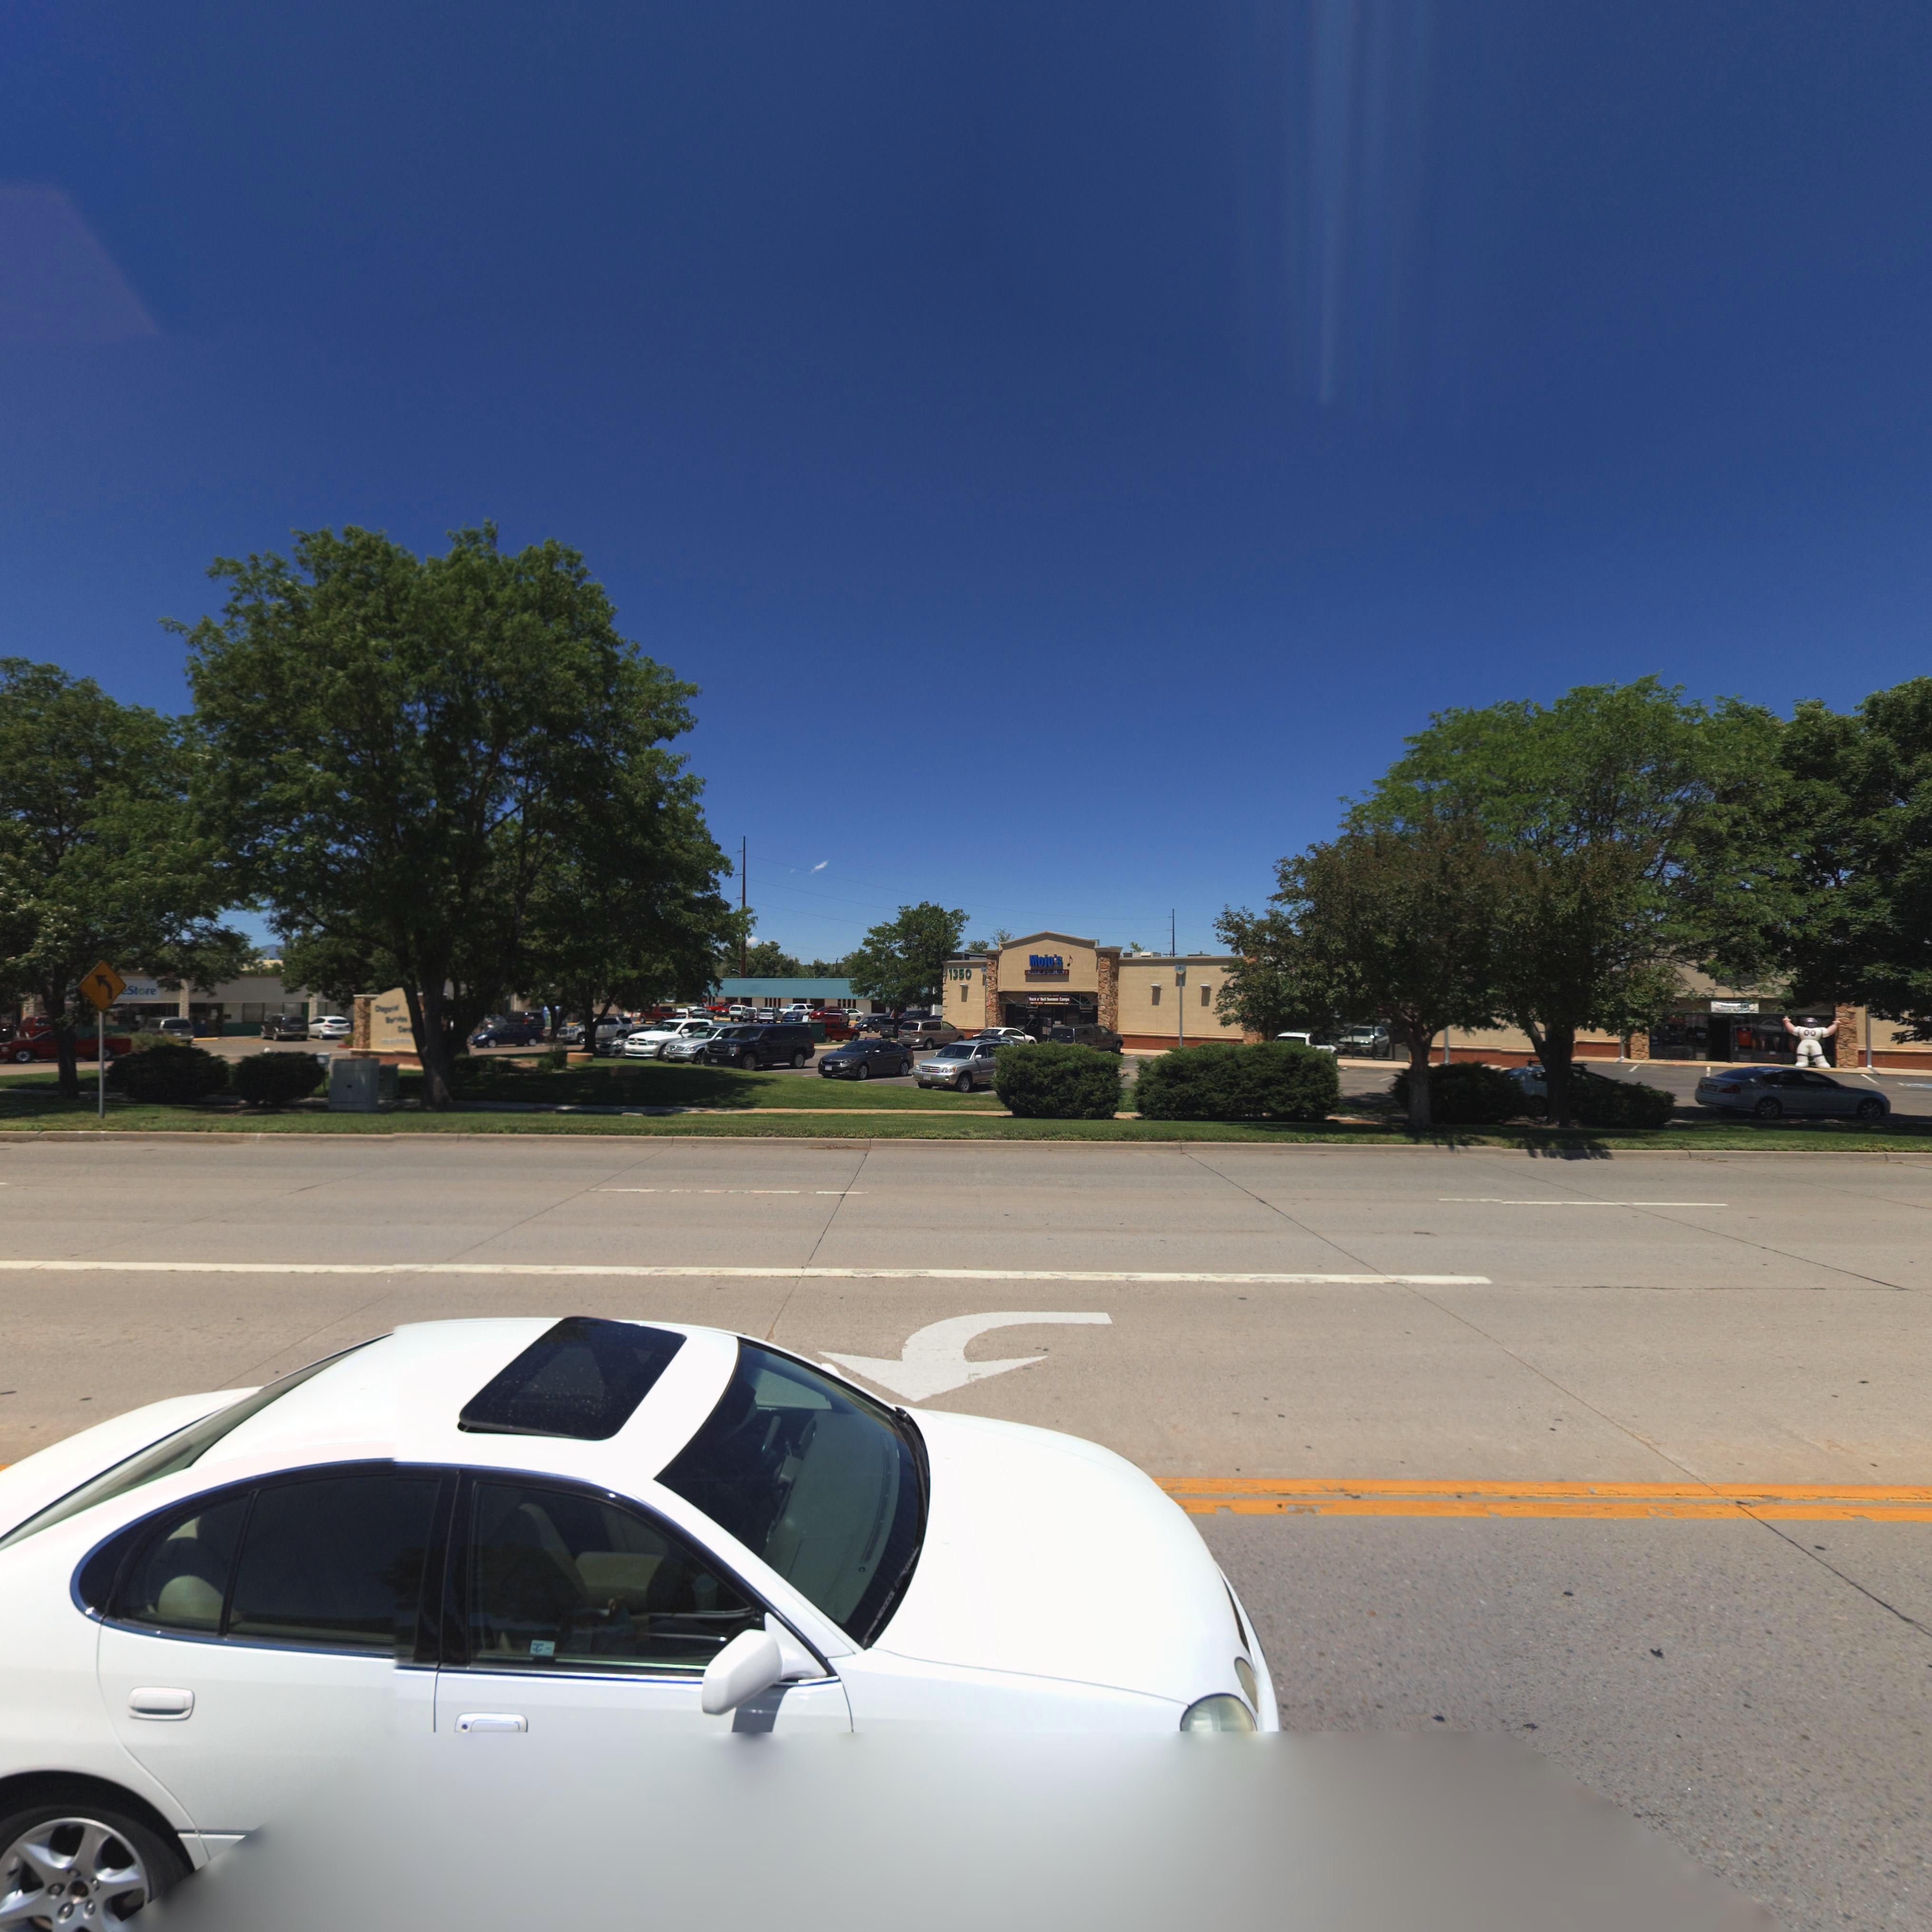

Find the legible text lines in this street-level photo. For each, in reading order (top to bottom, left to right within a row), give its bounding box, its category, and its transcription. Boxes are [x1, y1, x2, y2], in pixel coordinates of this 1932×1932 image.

[1029, 954, 1063, 968] BusinessName: Mojo's
[948, 968, 972, 978] StreetNumber: 1350
[1027, 970, 1065, 974] StreetNumber: MUSIC ACADEMY
[127, 985, 156, 995] BusinessName: Store